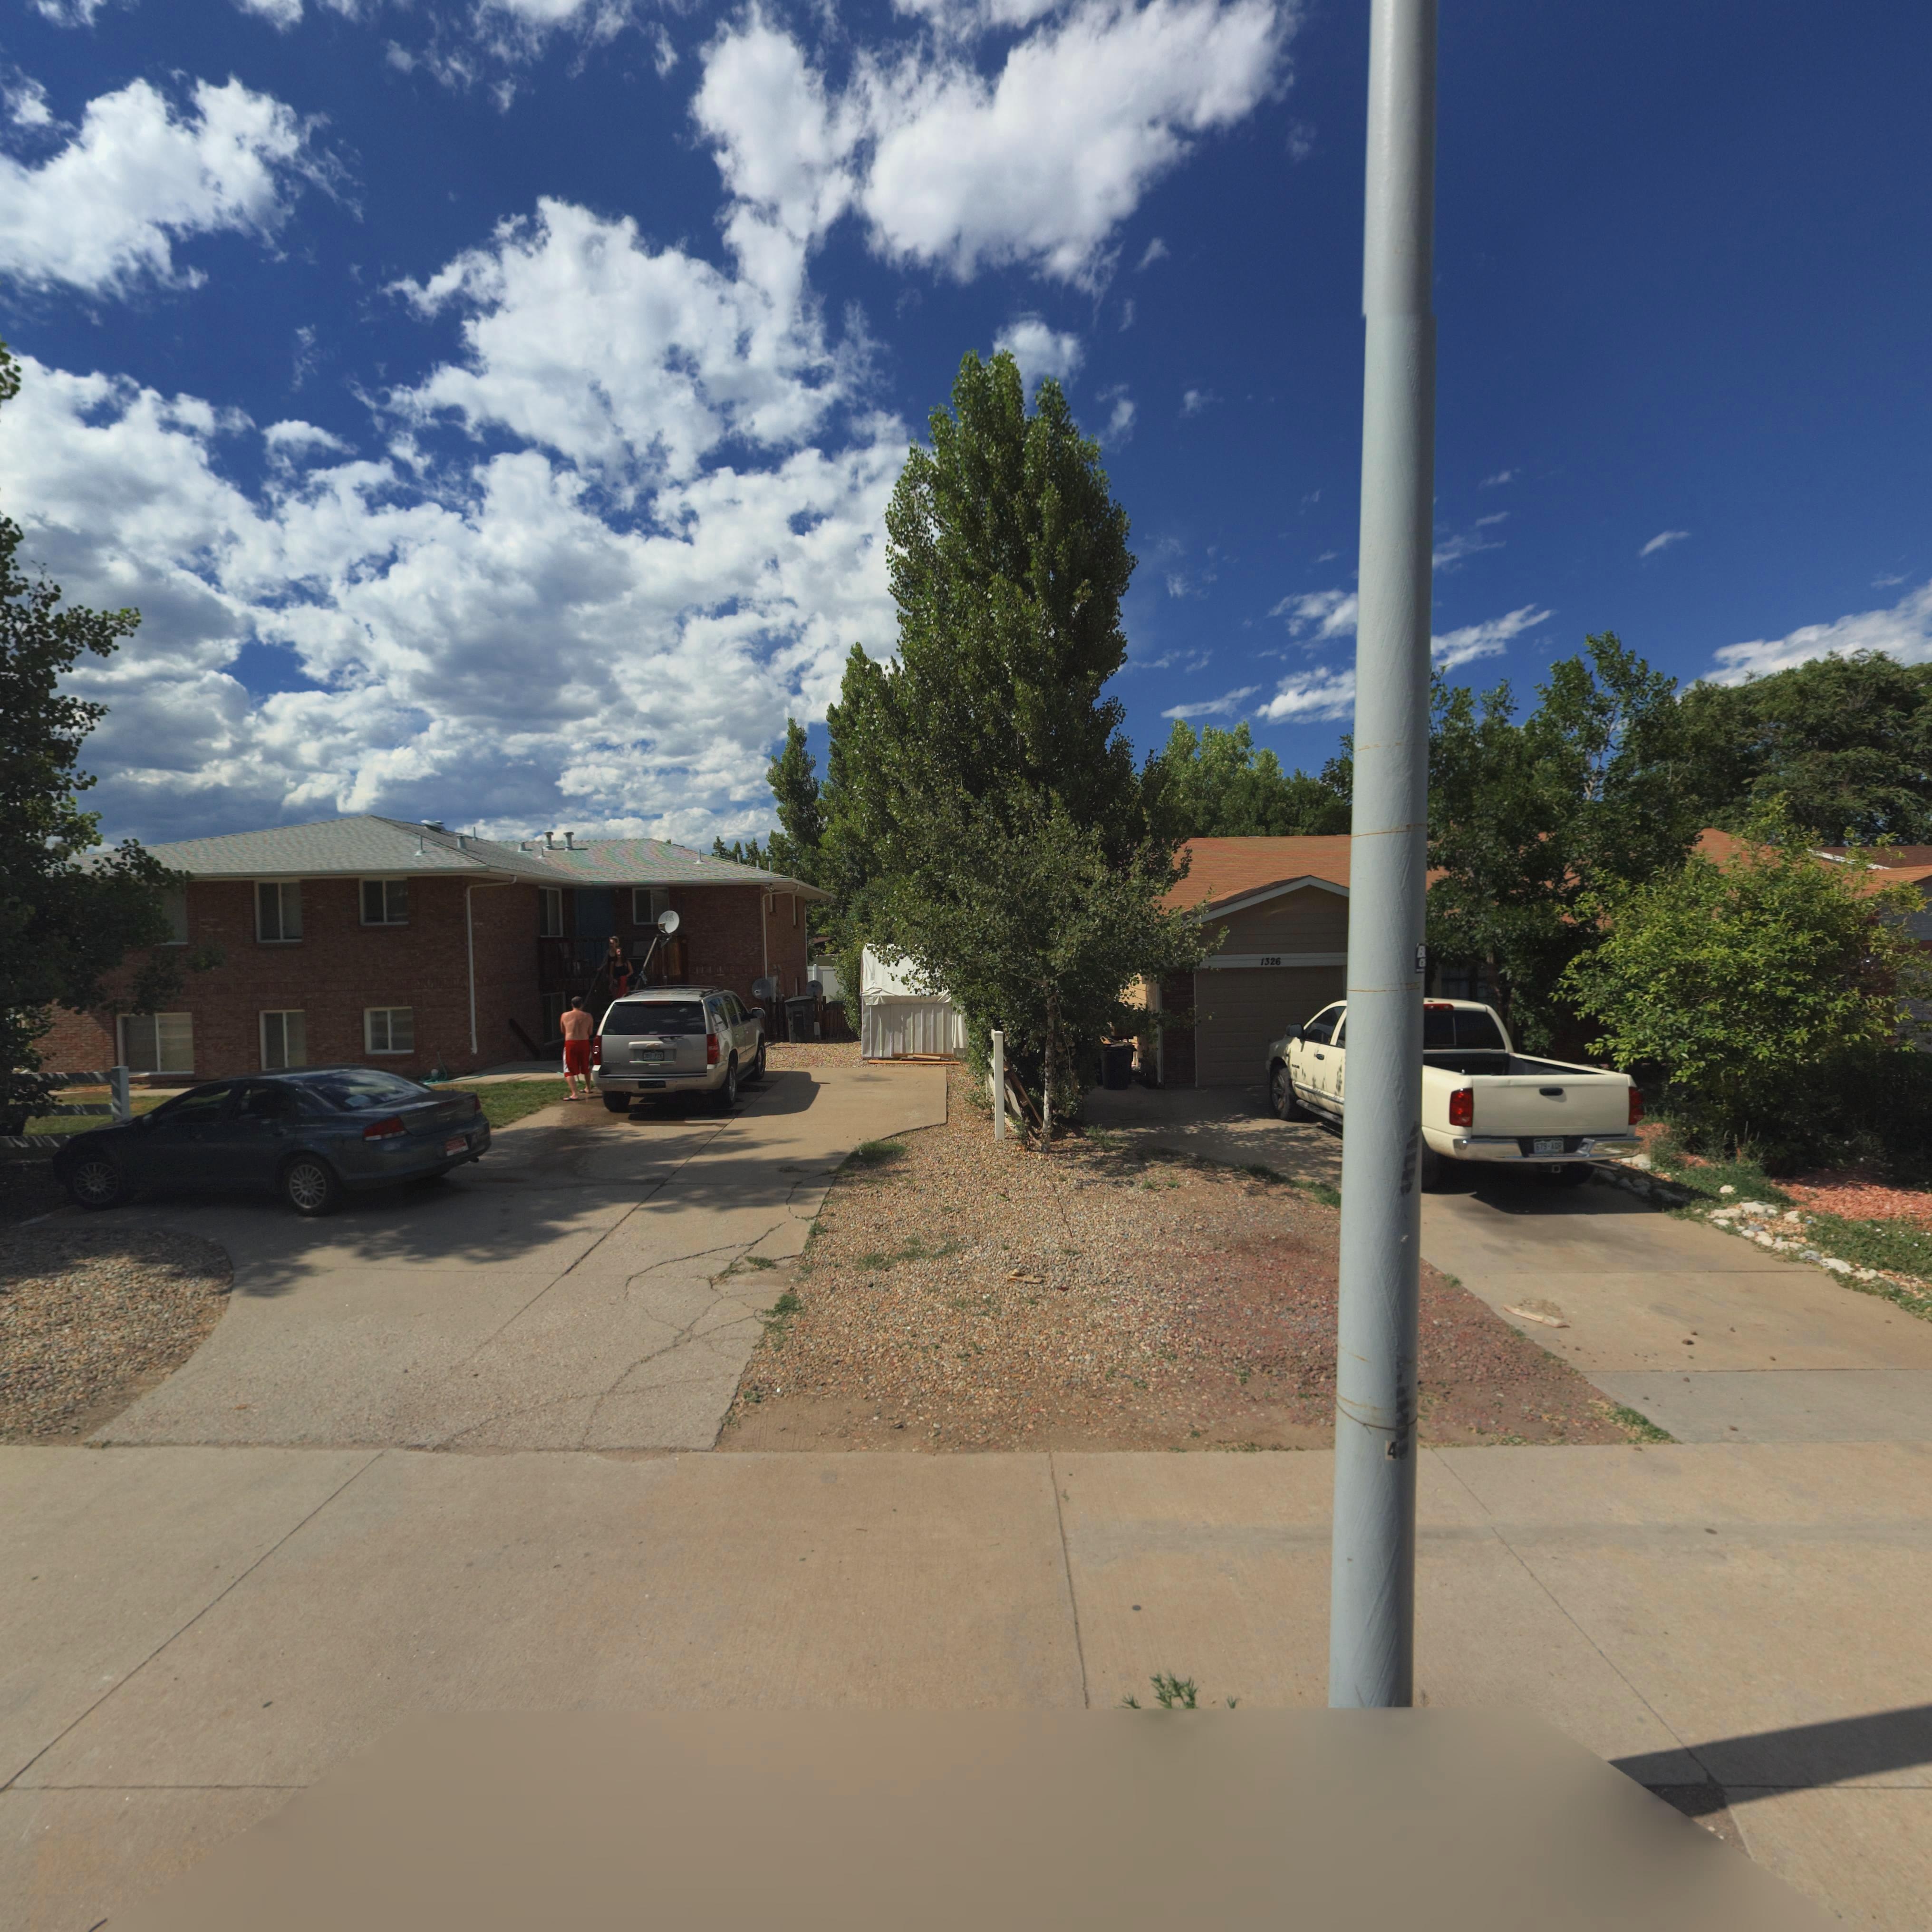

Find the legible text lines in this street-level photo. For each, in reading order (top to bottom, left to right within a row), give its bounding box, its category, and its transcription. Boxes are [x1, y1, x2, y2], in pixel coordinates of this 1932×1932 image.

[1260, 957, 1281, 966] StreetNumber: 1326